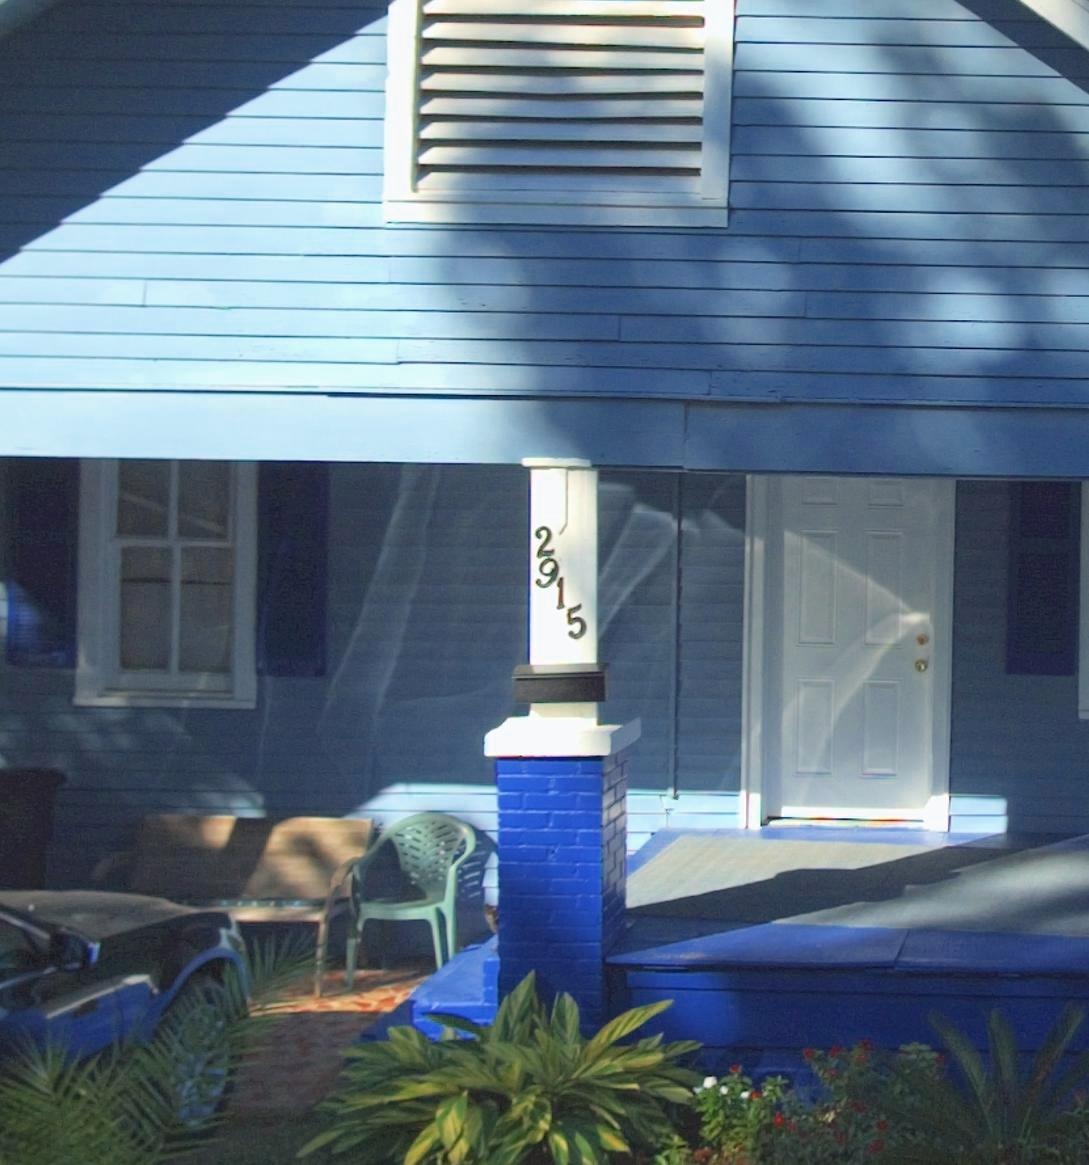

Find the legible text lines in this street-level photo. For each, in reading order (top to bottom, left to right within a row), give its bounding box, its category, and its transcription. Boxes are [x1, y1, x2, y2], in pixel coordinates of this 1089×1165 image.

[531, 522, 592, 642] StreetNumber: 2915